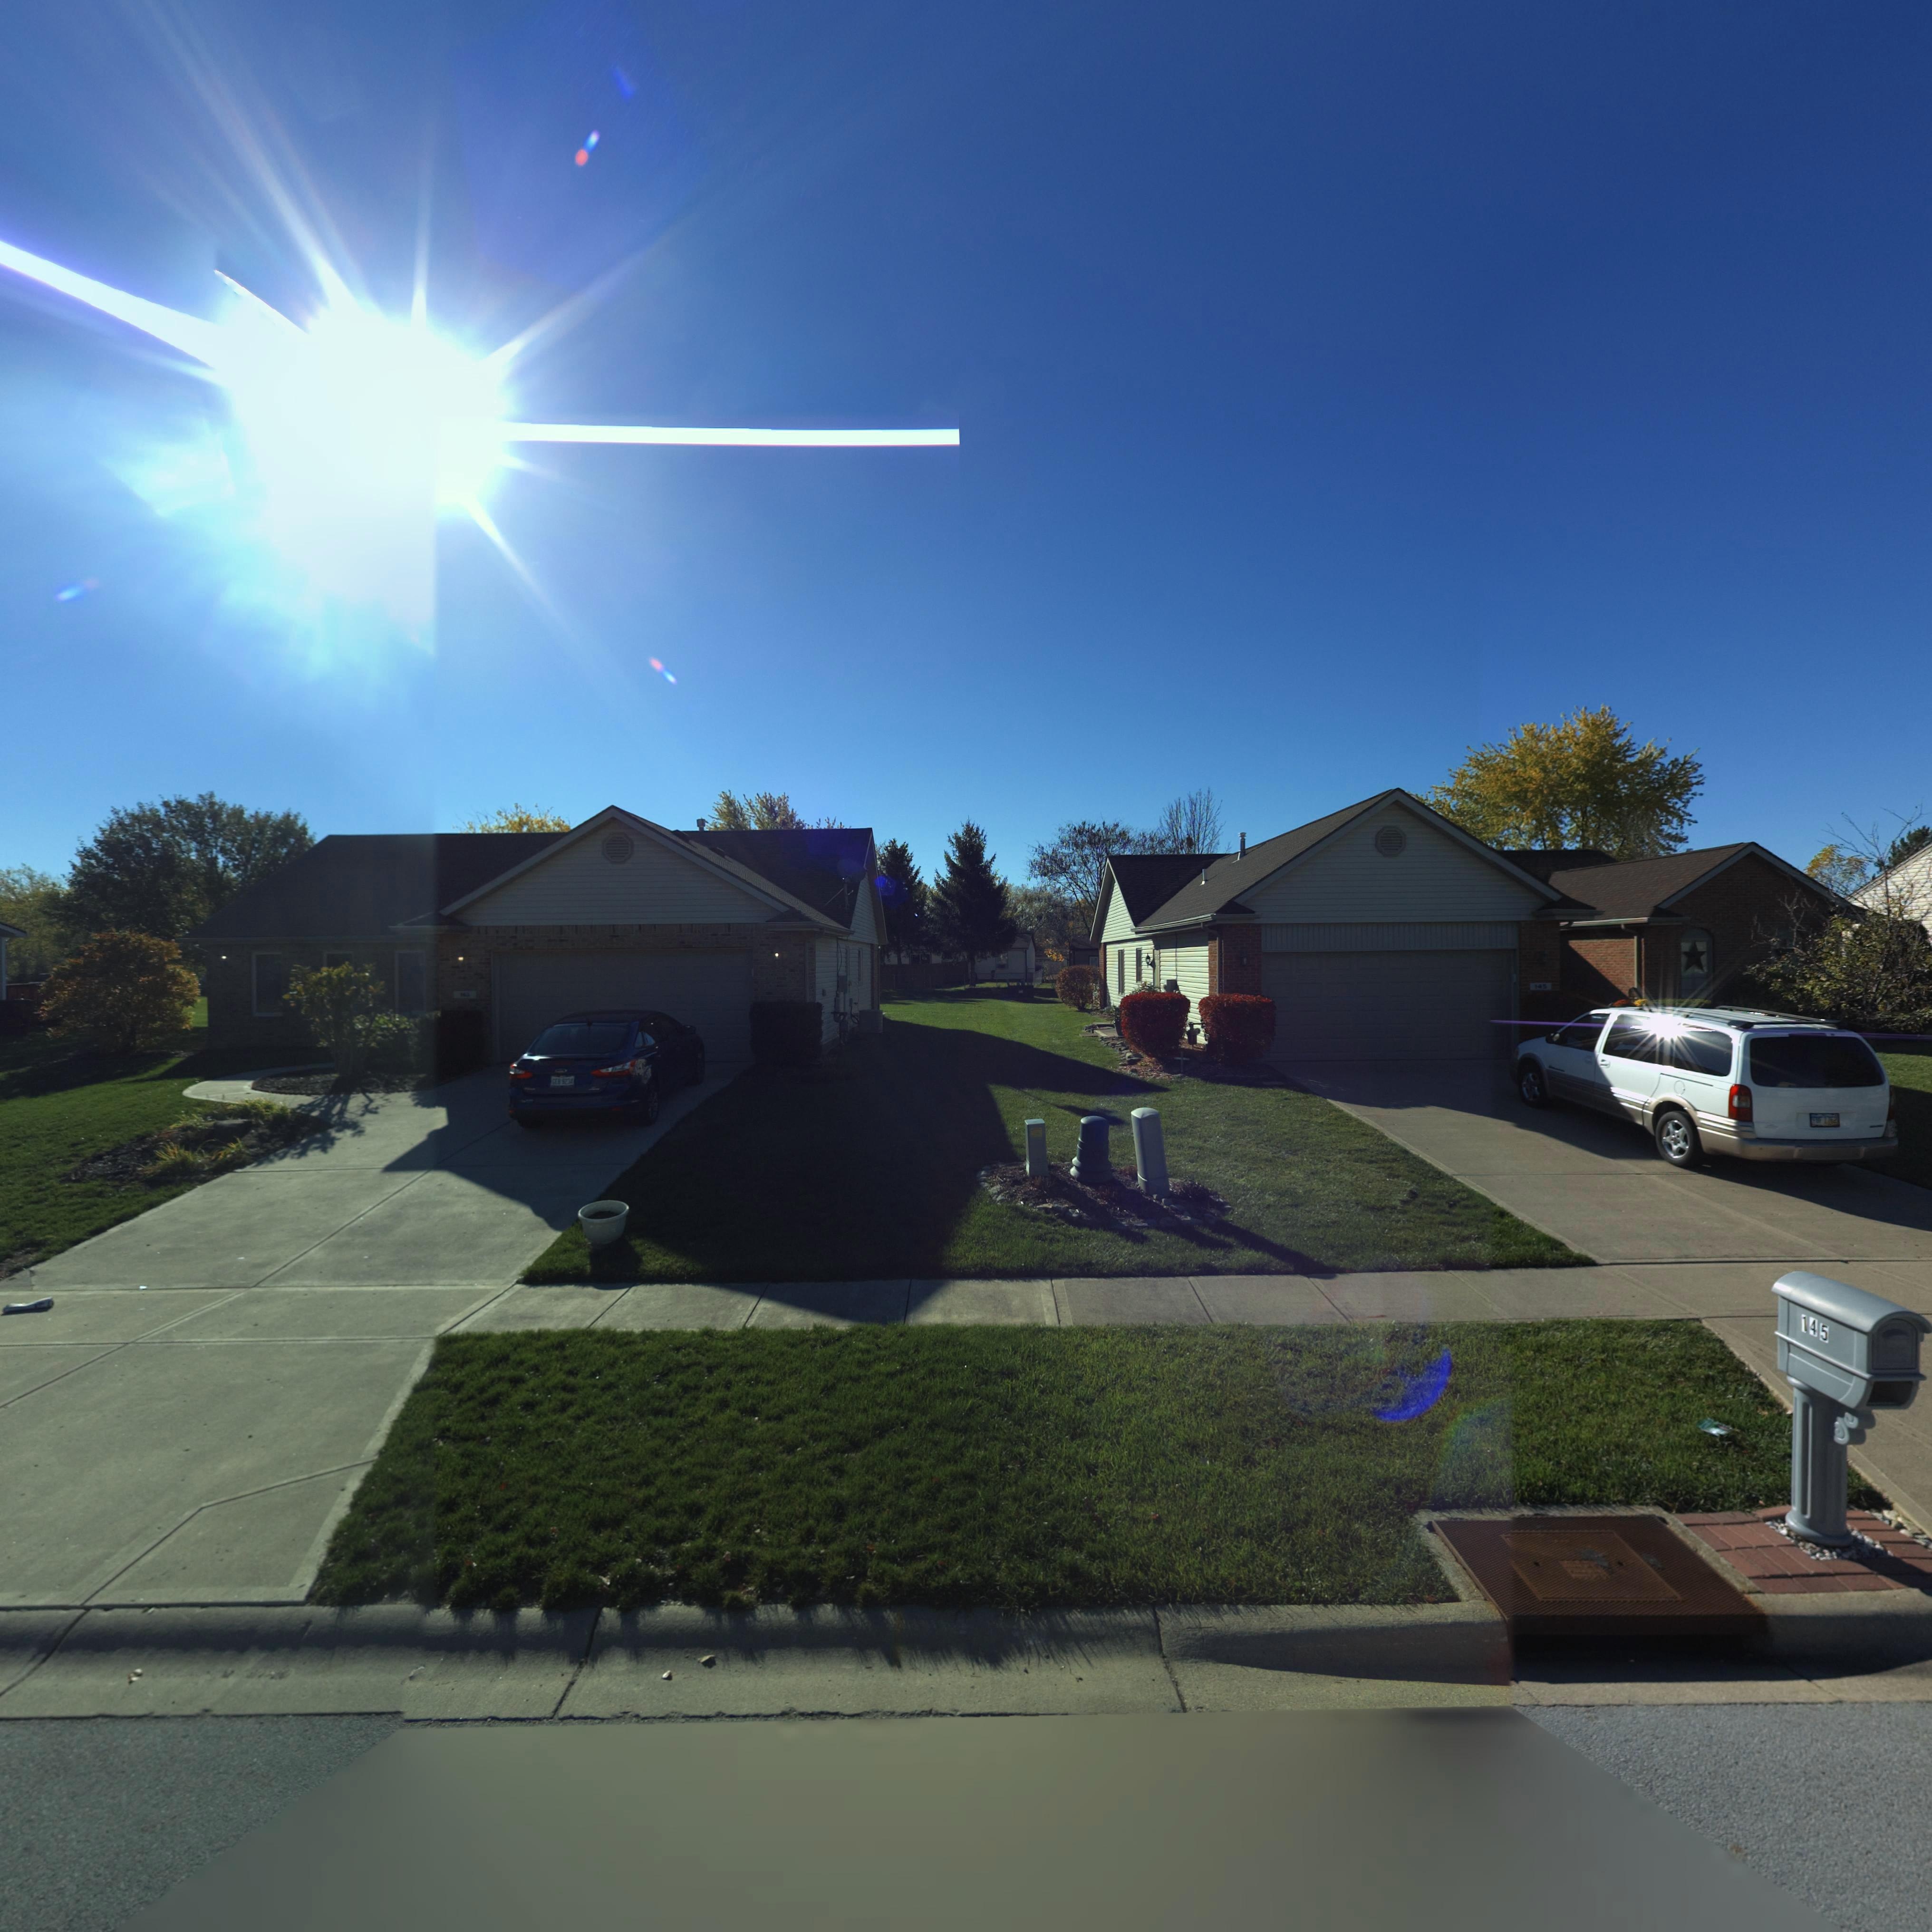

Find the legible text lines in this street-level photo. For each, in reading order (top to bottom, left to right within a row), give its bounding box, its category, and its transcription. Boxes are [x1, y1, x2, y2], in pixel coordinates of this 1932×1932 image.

[1533, 983, 1547, 989] StreetNumber: 145
[458, 991, 470, 997] StreetNumber: 143
[1802, 1314, 1829, 1343] StreetNumber: 145